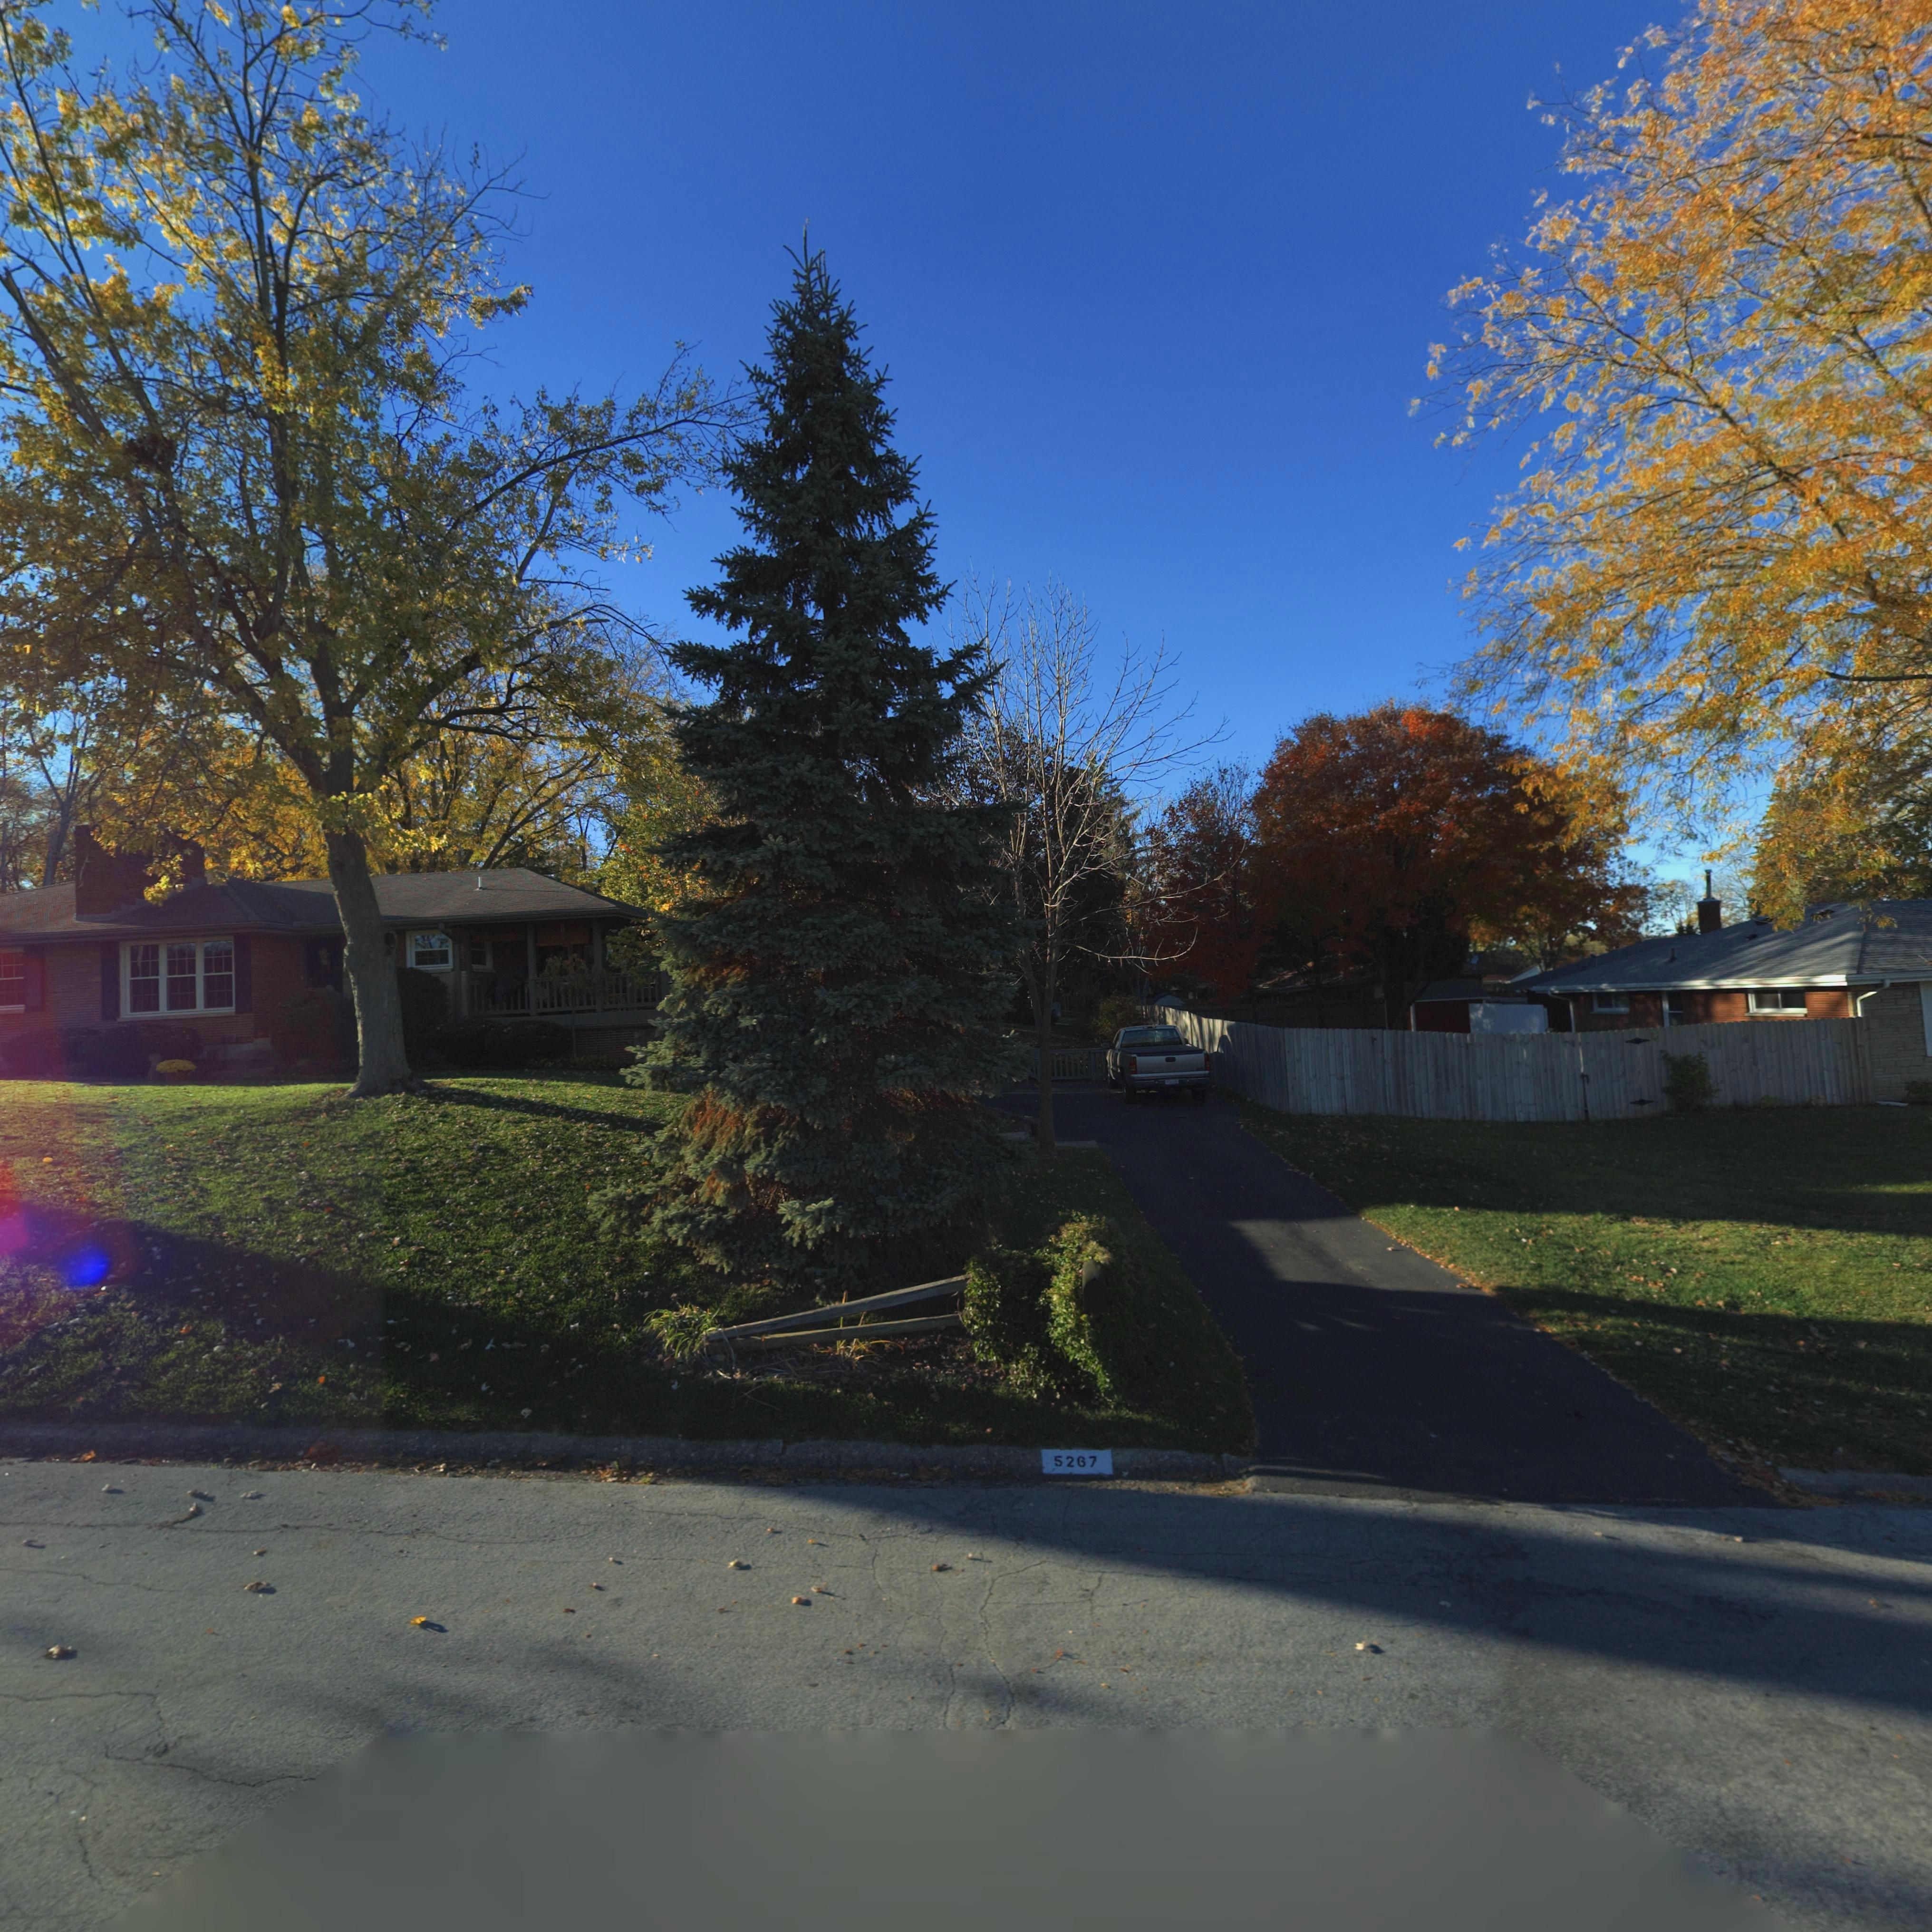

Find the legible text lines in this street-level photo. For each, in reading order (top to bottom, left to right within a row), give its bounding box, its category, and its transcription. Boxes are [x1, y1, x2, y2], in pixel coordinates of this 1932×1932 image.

[1053, 1454, 1099, 1469] StreetNumber: 5267